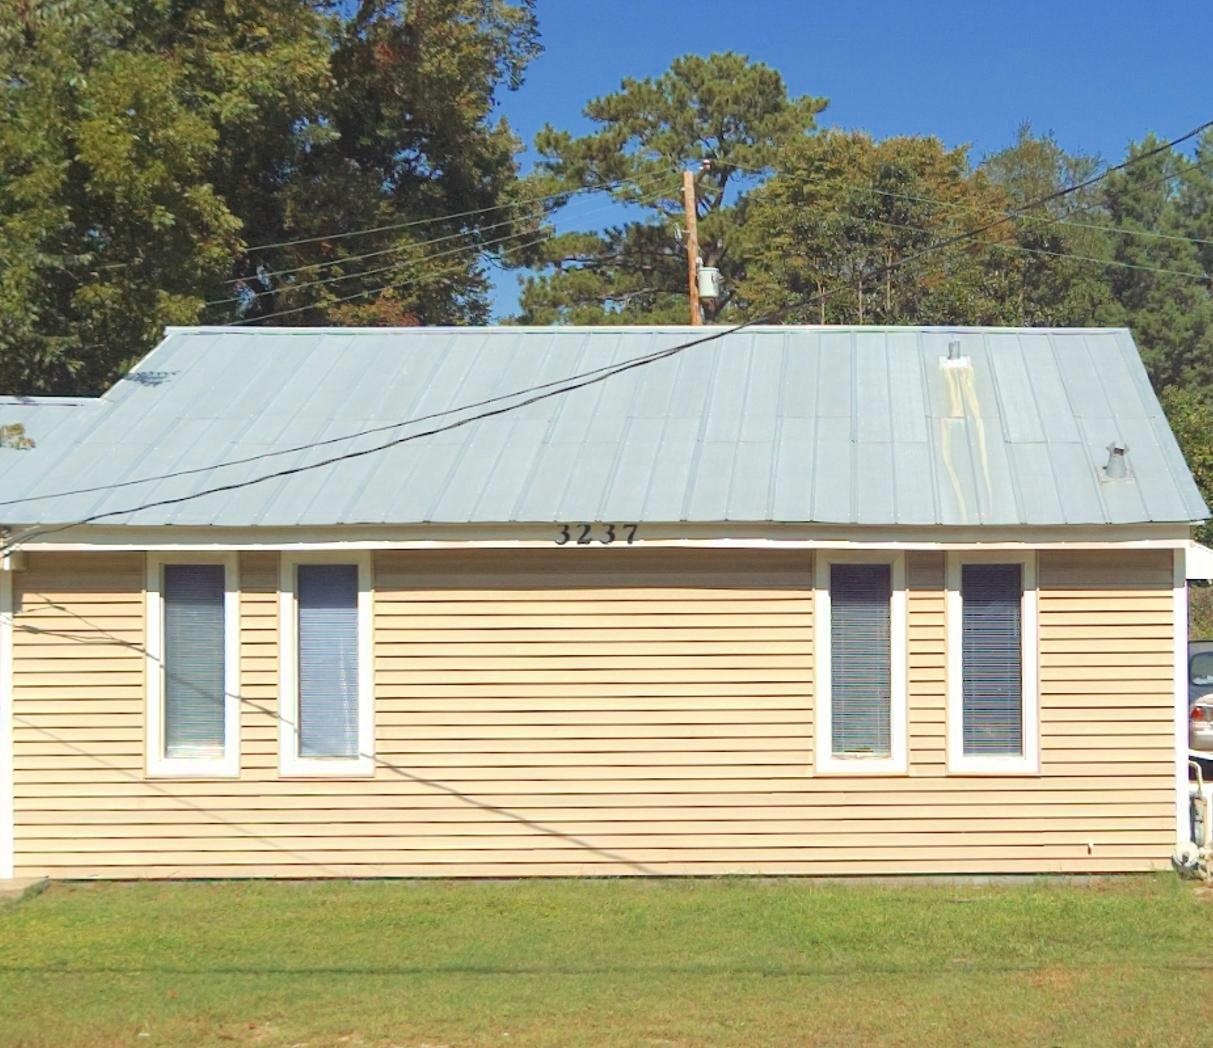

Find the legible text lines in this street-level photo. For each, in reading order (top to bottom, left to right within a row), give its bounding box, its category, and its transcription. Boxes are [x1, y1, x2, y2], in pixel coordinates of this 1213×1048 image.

[551, 523, 640, 546] StreetNumber: 3237